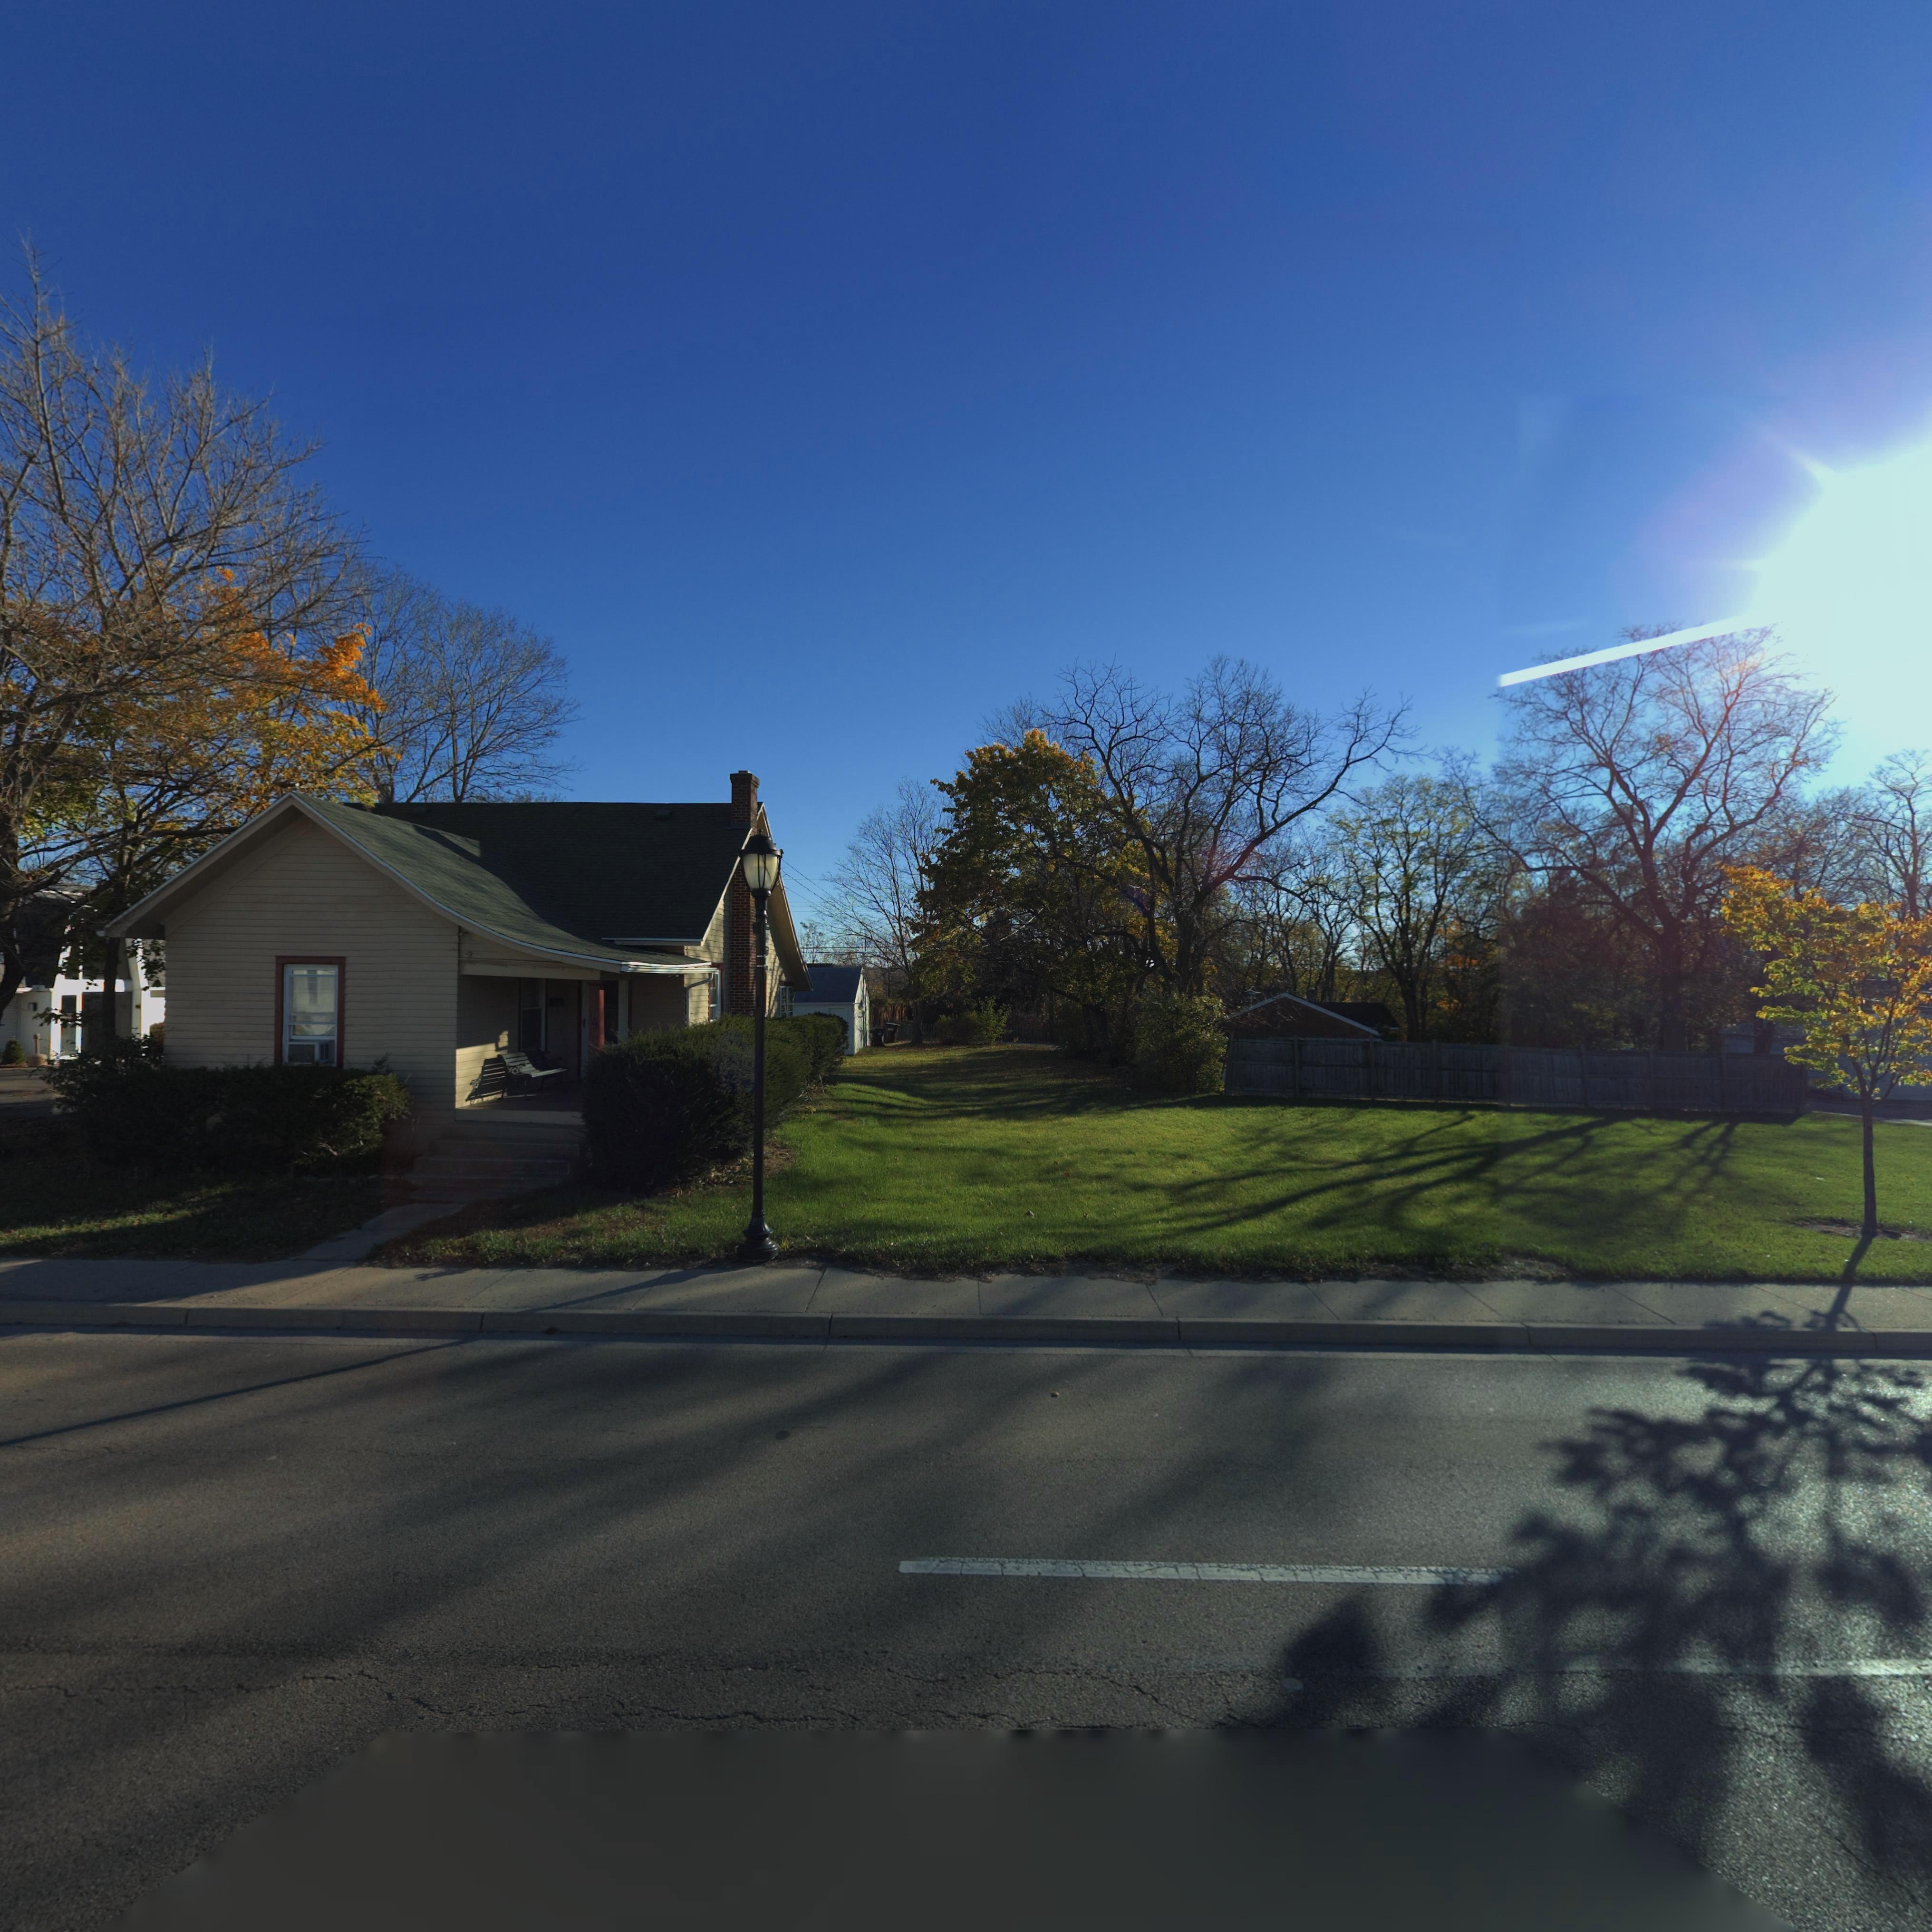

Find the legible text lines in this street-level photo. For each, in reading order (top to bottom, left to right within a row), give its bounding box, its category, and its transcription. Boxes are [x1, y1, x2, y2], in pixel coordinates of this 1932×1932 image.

[589, 1013, 599, 1030] StreetNumber: 106